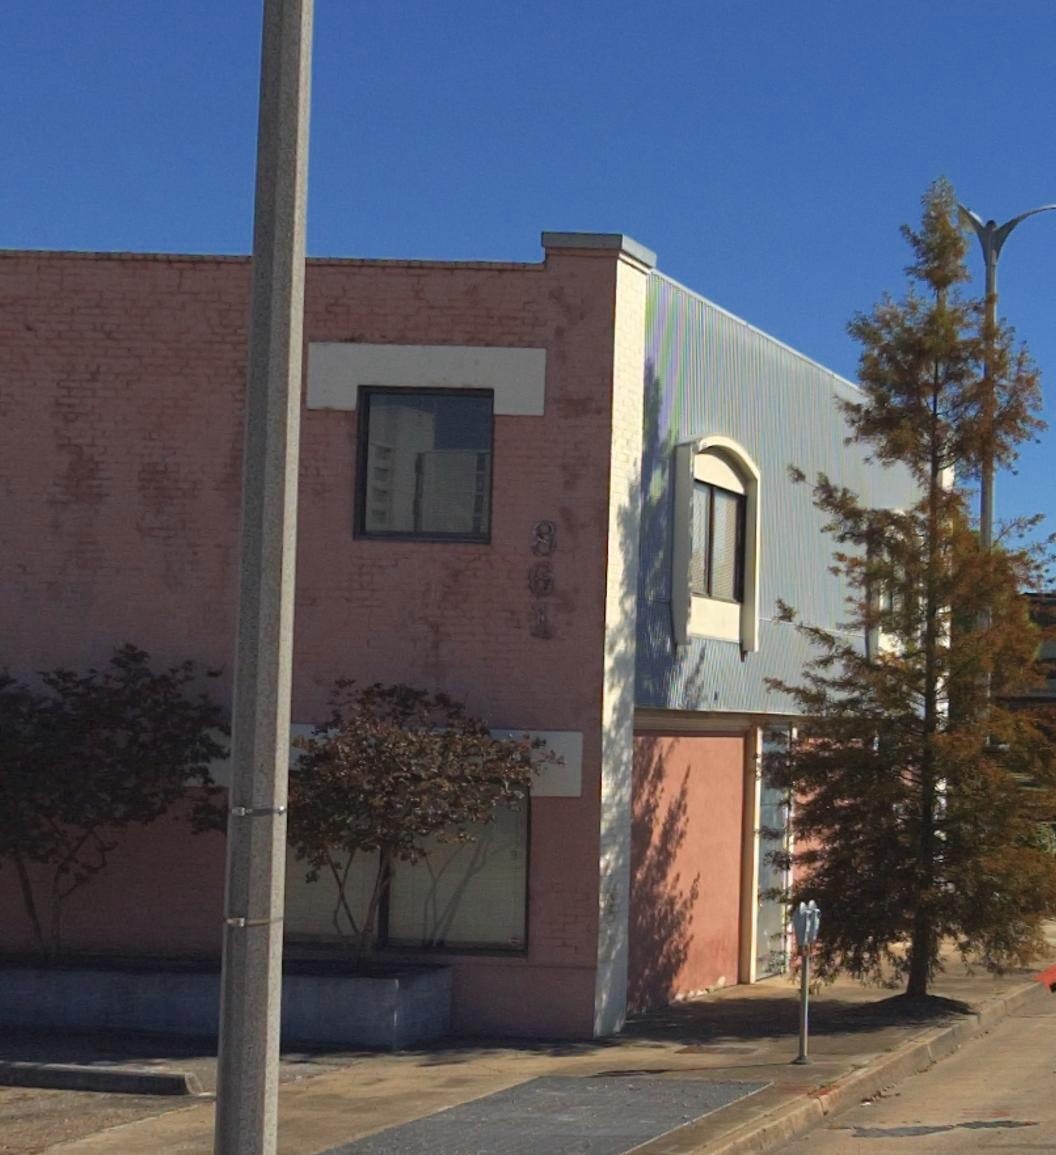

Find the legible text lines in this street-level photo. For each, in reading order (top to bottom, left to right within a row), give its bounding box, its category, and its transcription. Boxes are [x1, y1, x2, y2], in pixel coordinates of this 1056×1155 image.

[524, 516, 556, 640] StreetNumber: 861